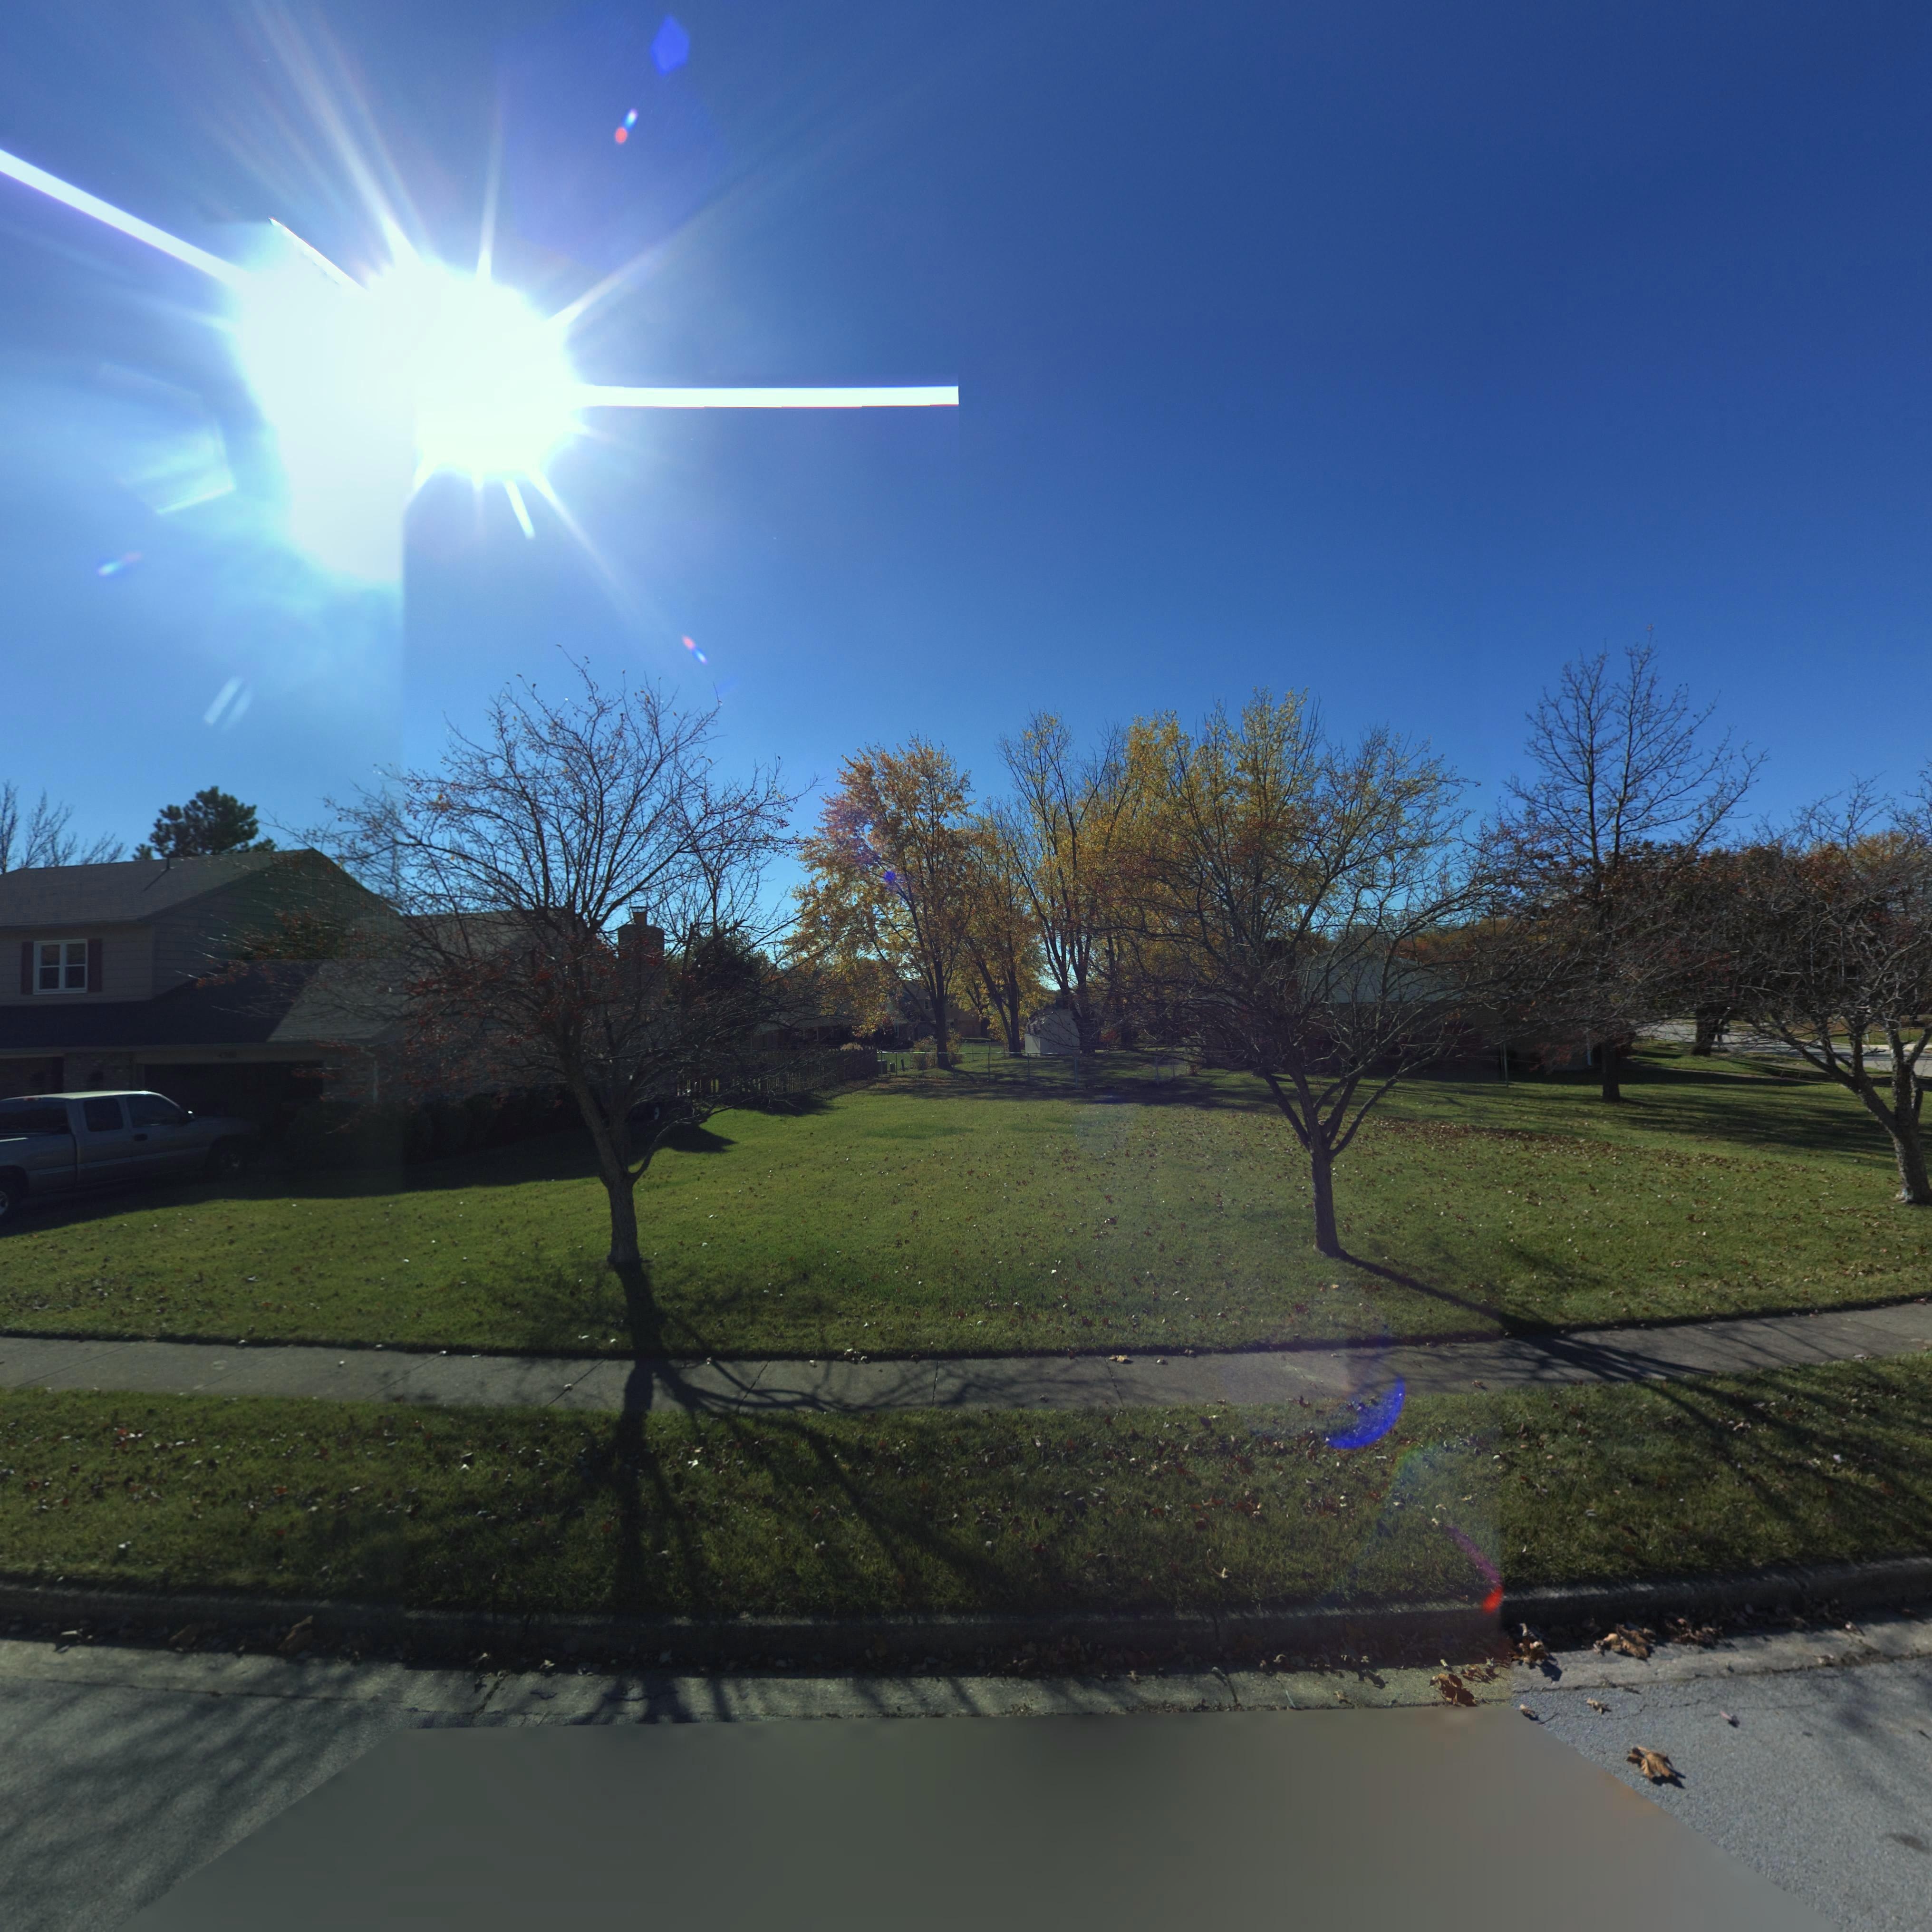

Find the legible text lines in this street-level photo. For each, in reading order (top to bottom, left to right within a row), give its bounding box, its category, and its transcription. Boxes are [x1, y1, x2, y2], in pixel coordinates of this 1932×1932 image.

[217, 1051, 238, 1059] StreetNumber: 4300